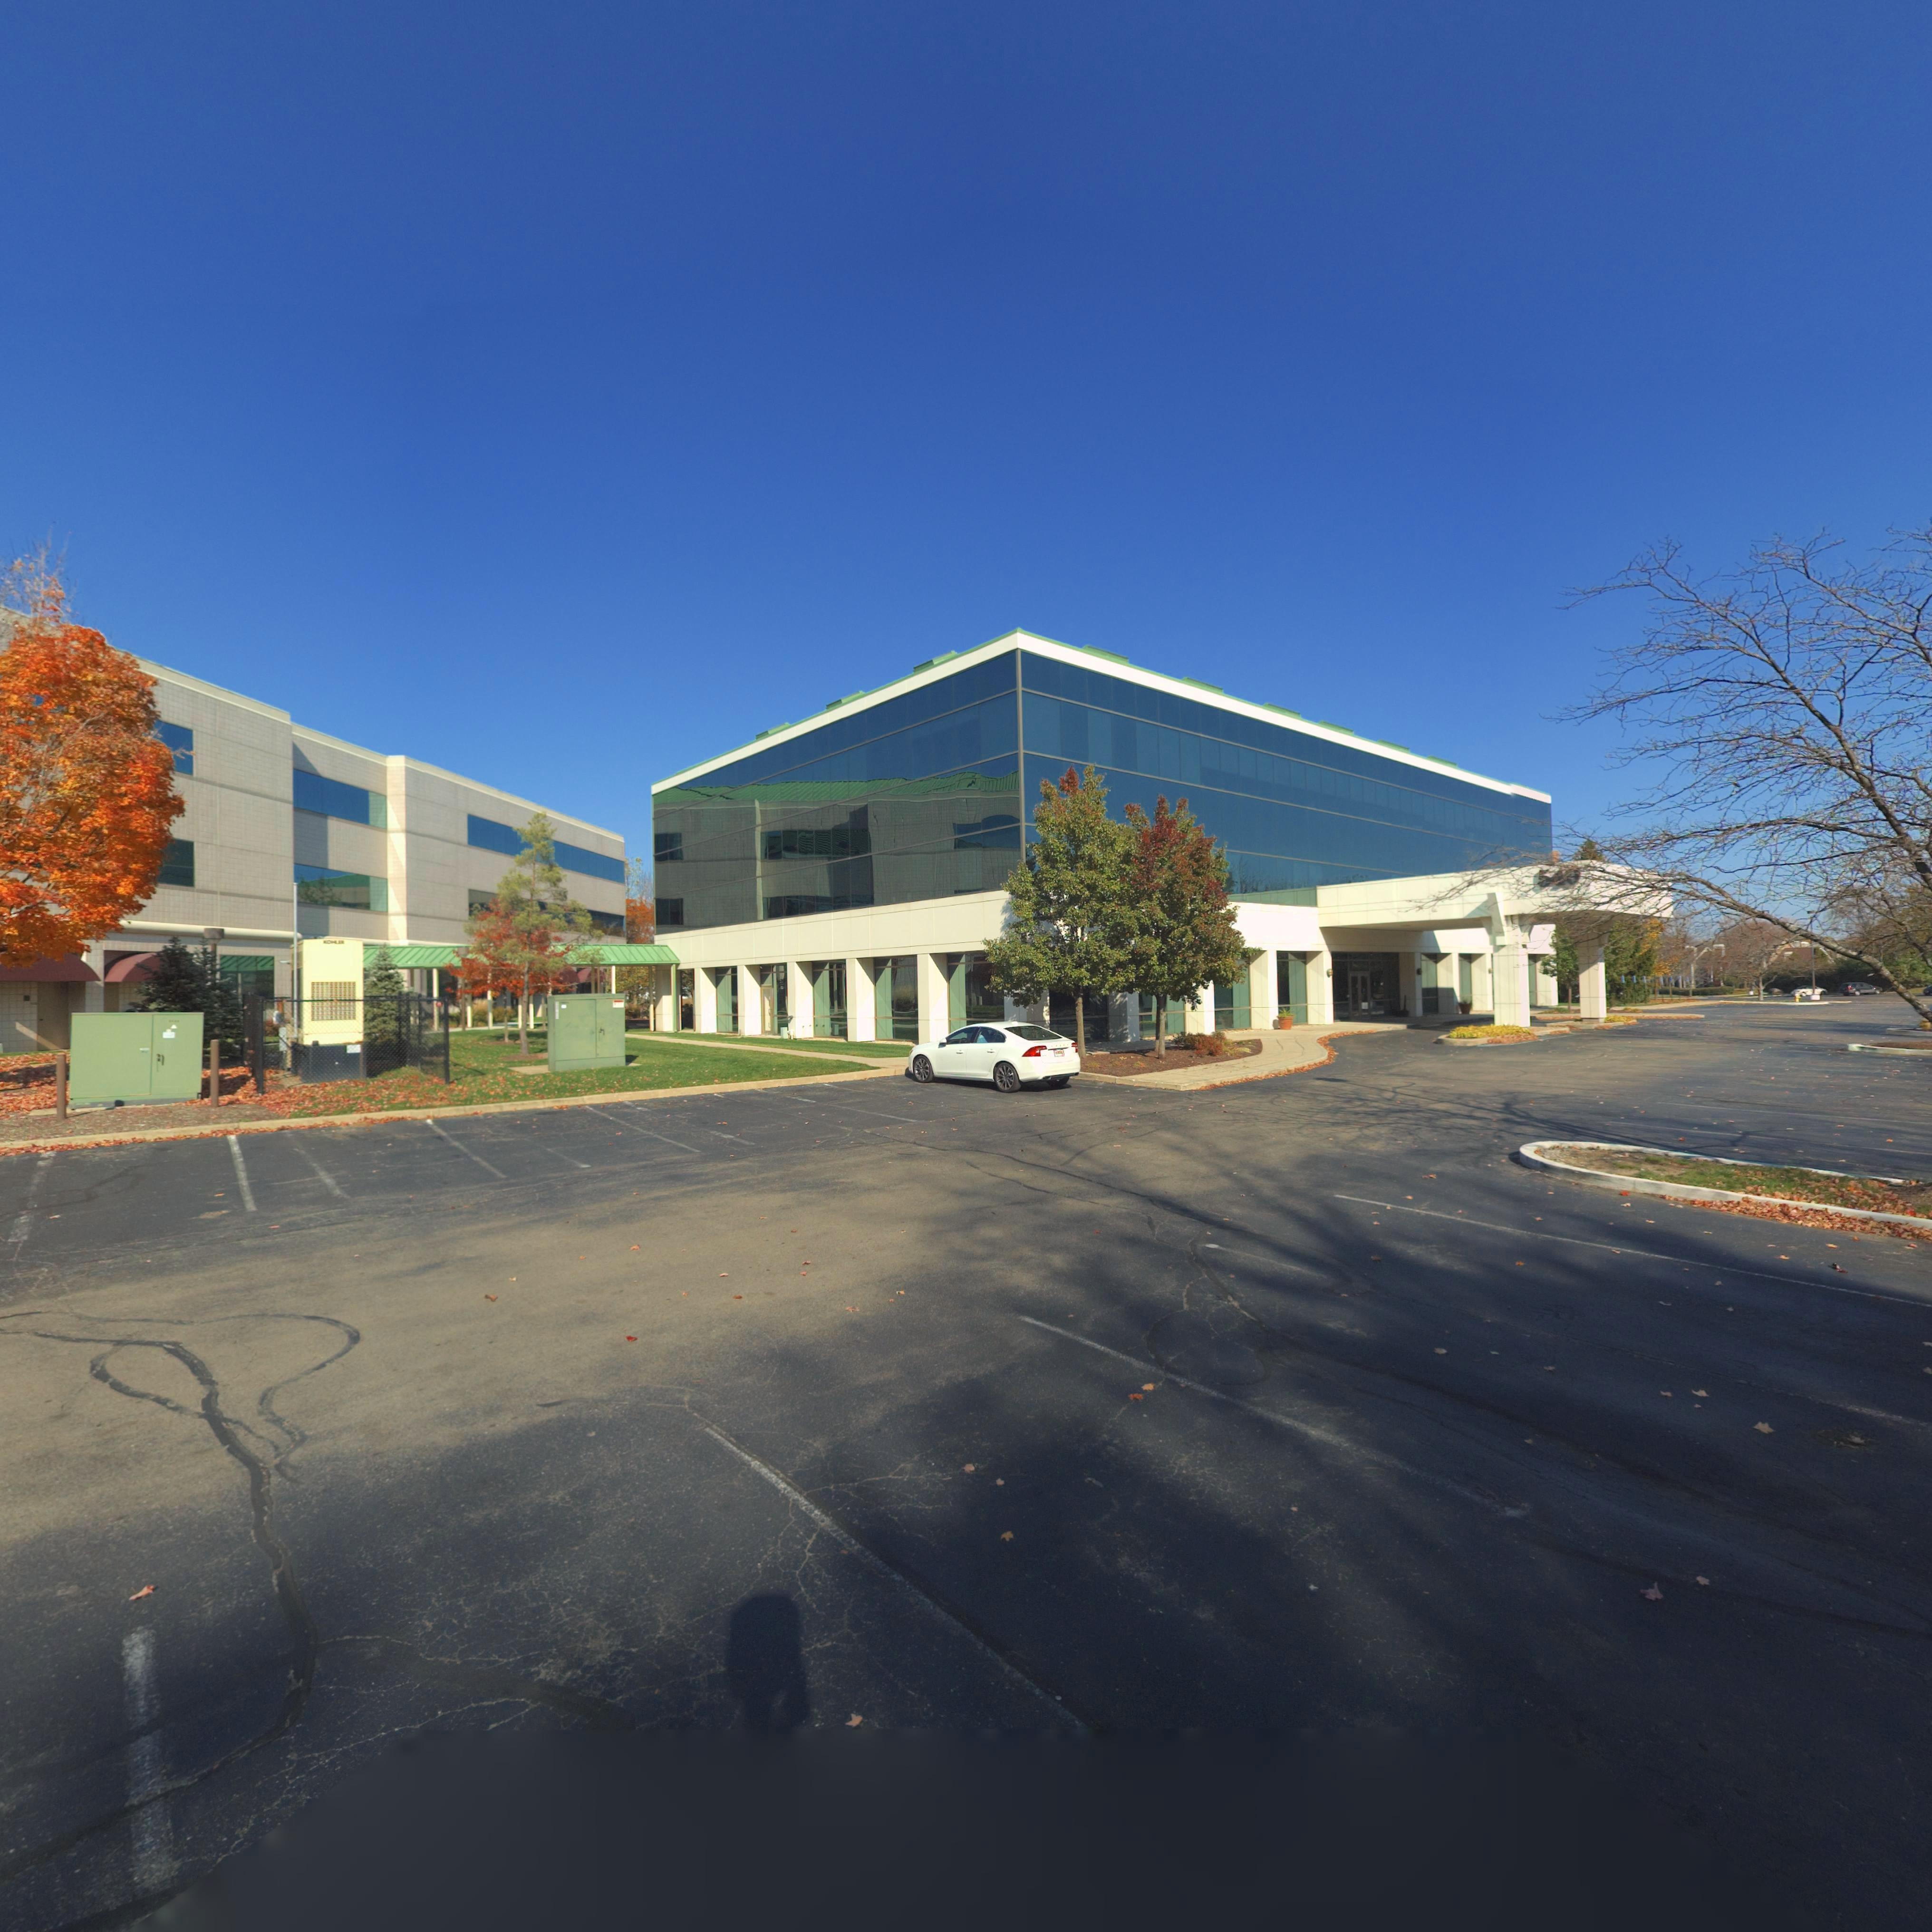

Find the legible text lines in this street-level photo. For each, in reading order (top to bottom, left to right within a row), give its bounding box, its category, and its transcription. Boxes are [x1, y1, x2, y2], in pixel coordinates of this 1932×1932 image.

[1538, 868, 1579, 888] StreetNumber: 540